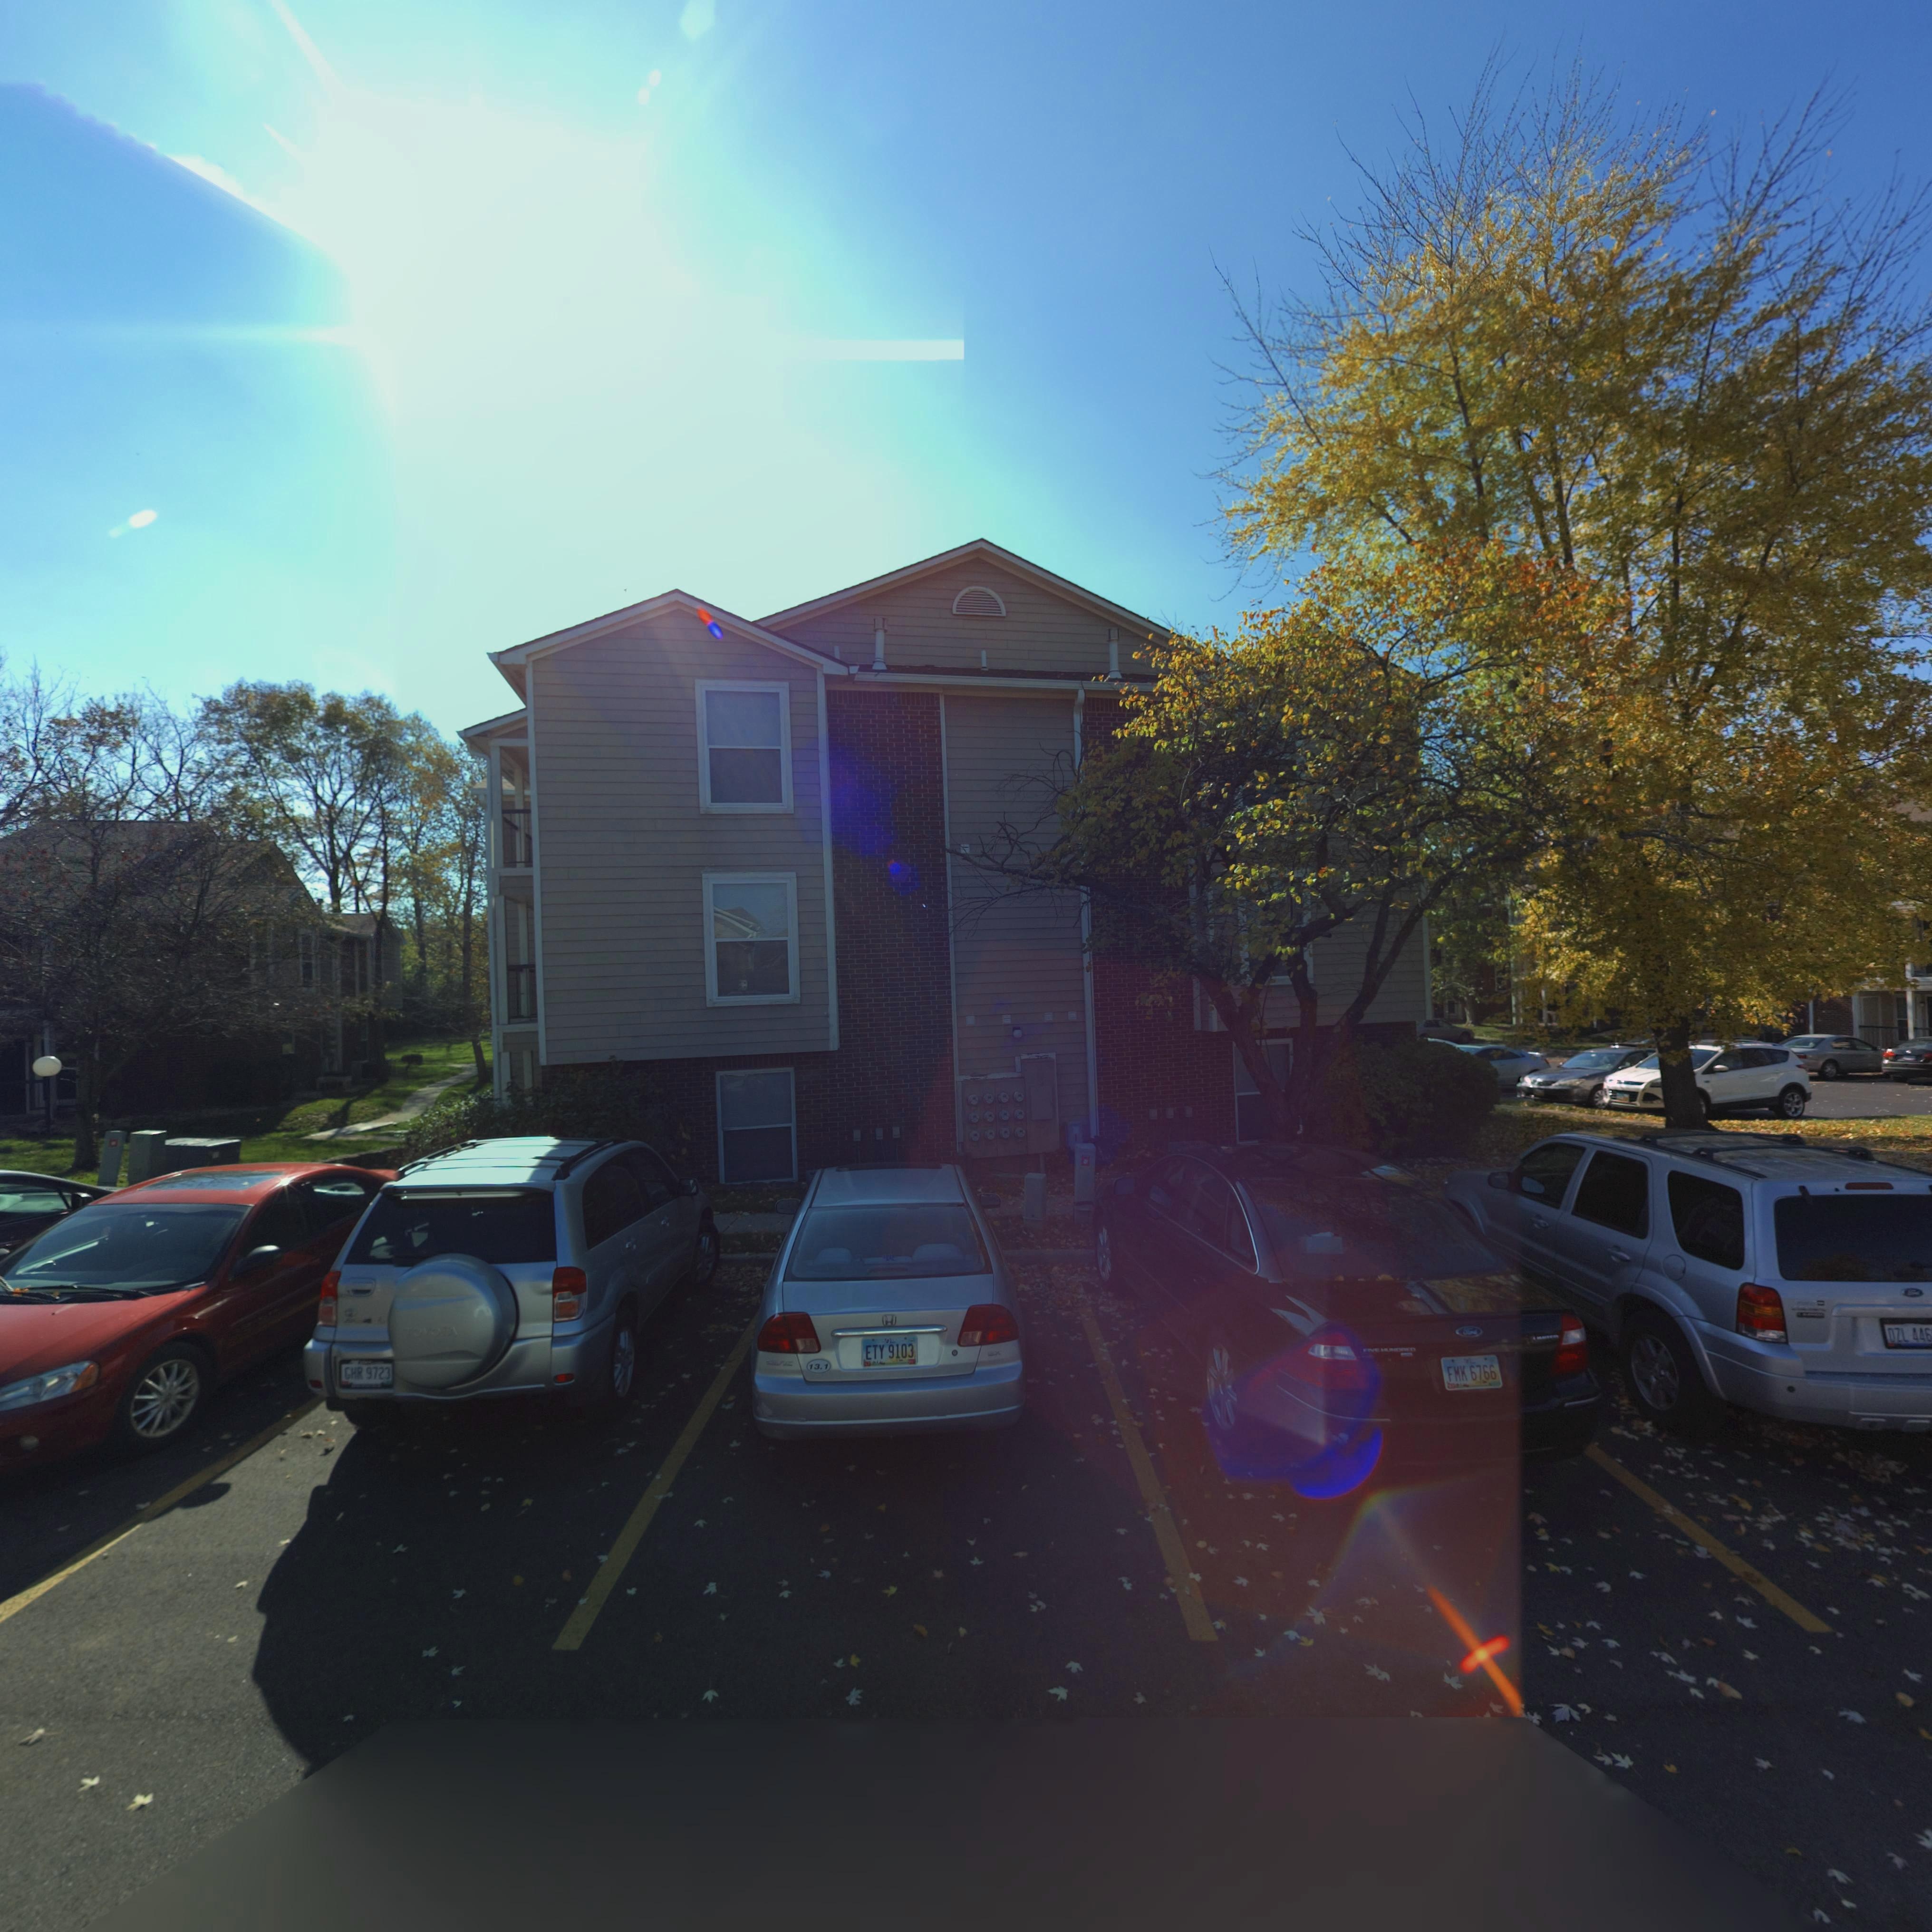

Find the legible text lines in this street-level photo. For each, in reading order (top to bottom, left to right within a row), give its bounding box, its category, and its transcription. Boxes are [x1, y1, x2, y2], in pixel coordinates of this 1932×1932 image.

[404, 1325, 461, 1339] None: TOYO*A
[1886, 1326, 1927, 1343] None: DZL 44
[865, 1342, 915, 1361] None: ETY 9103
[344, 1364, 392, 1381] None: GHR 9723
[808, 1362, 829, 1371] None: 13.1
[1445, 1363, 1498, 1383] None: FMK 6766